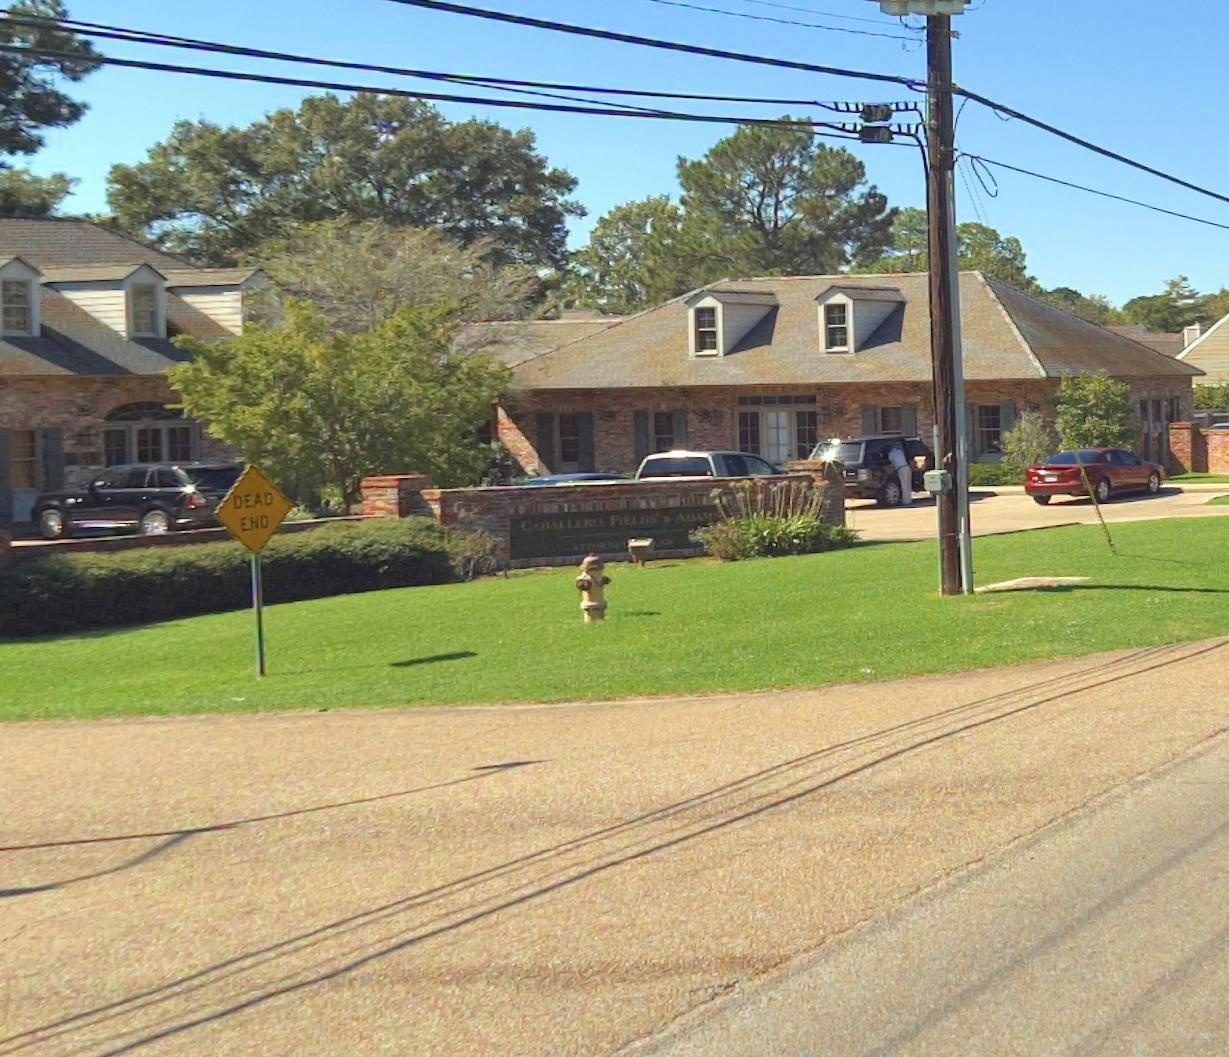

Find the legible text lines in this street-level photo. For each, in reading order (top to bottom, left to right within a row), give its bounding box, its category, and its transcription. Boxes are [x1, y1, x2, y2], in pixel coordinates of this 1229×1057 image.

[233, 490, 274, 511] None: DEAD
[239, 513, 269, 532] None: END
[519, 510, 725, 533] BusinessName: CABALLERO, FIELDS, & ADAMS